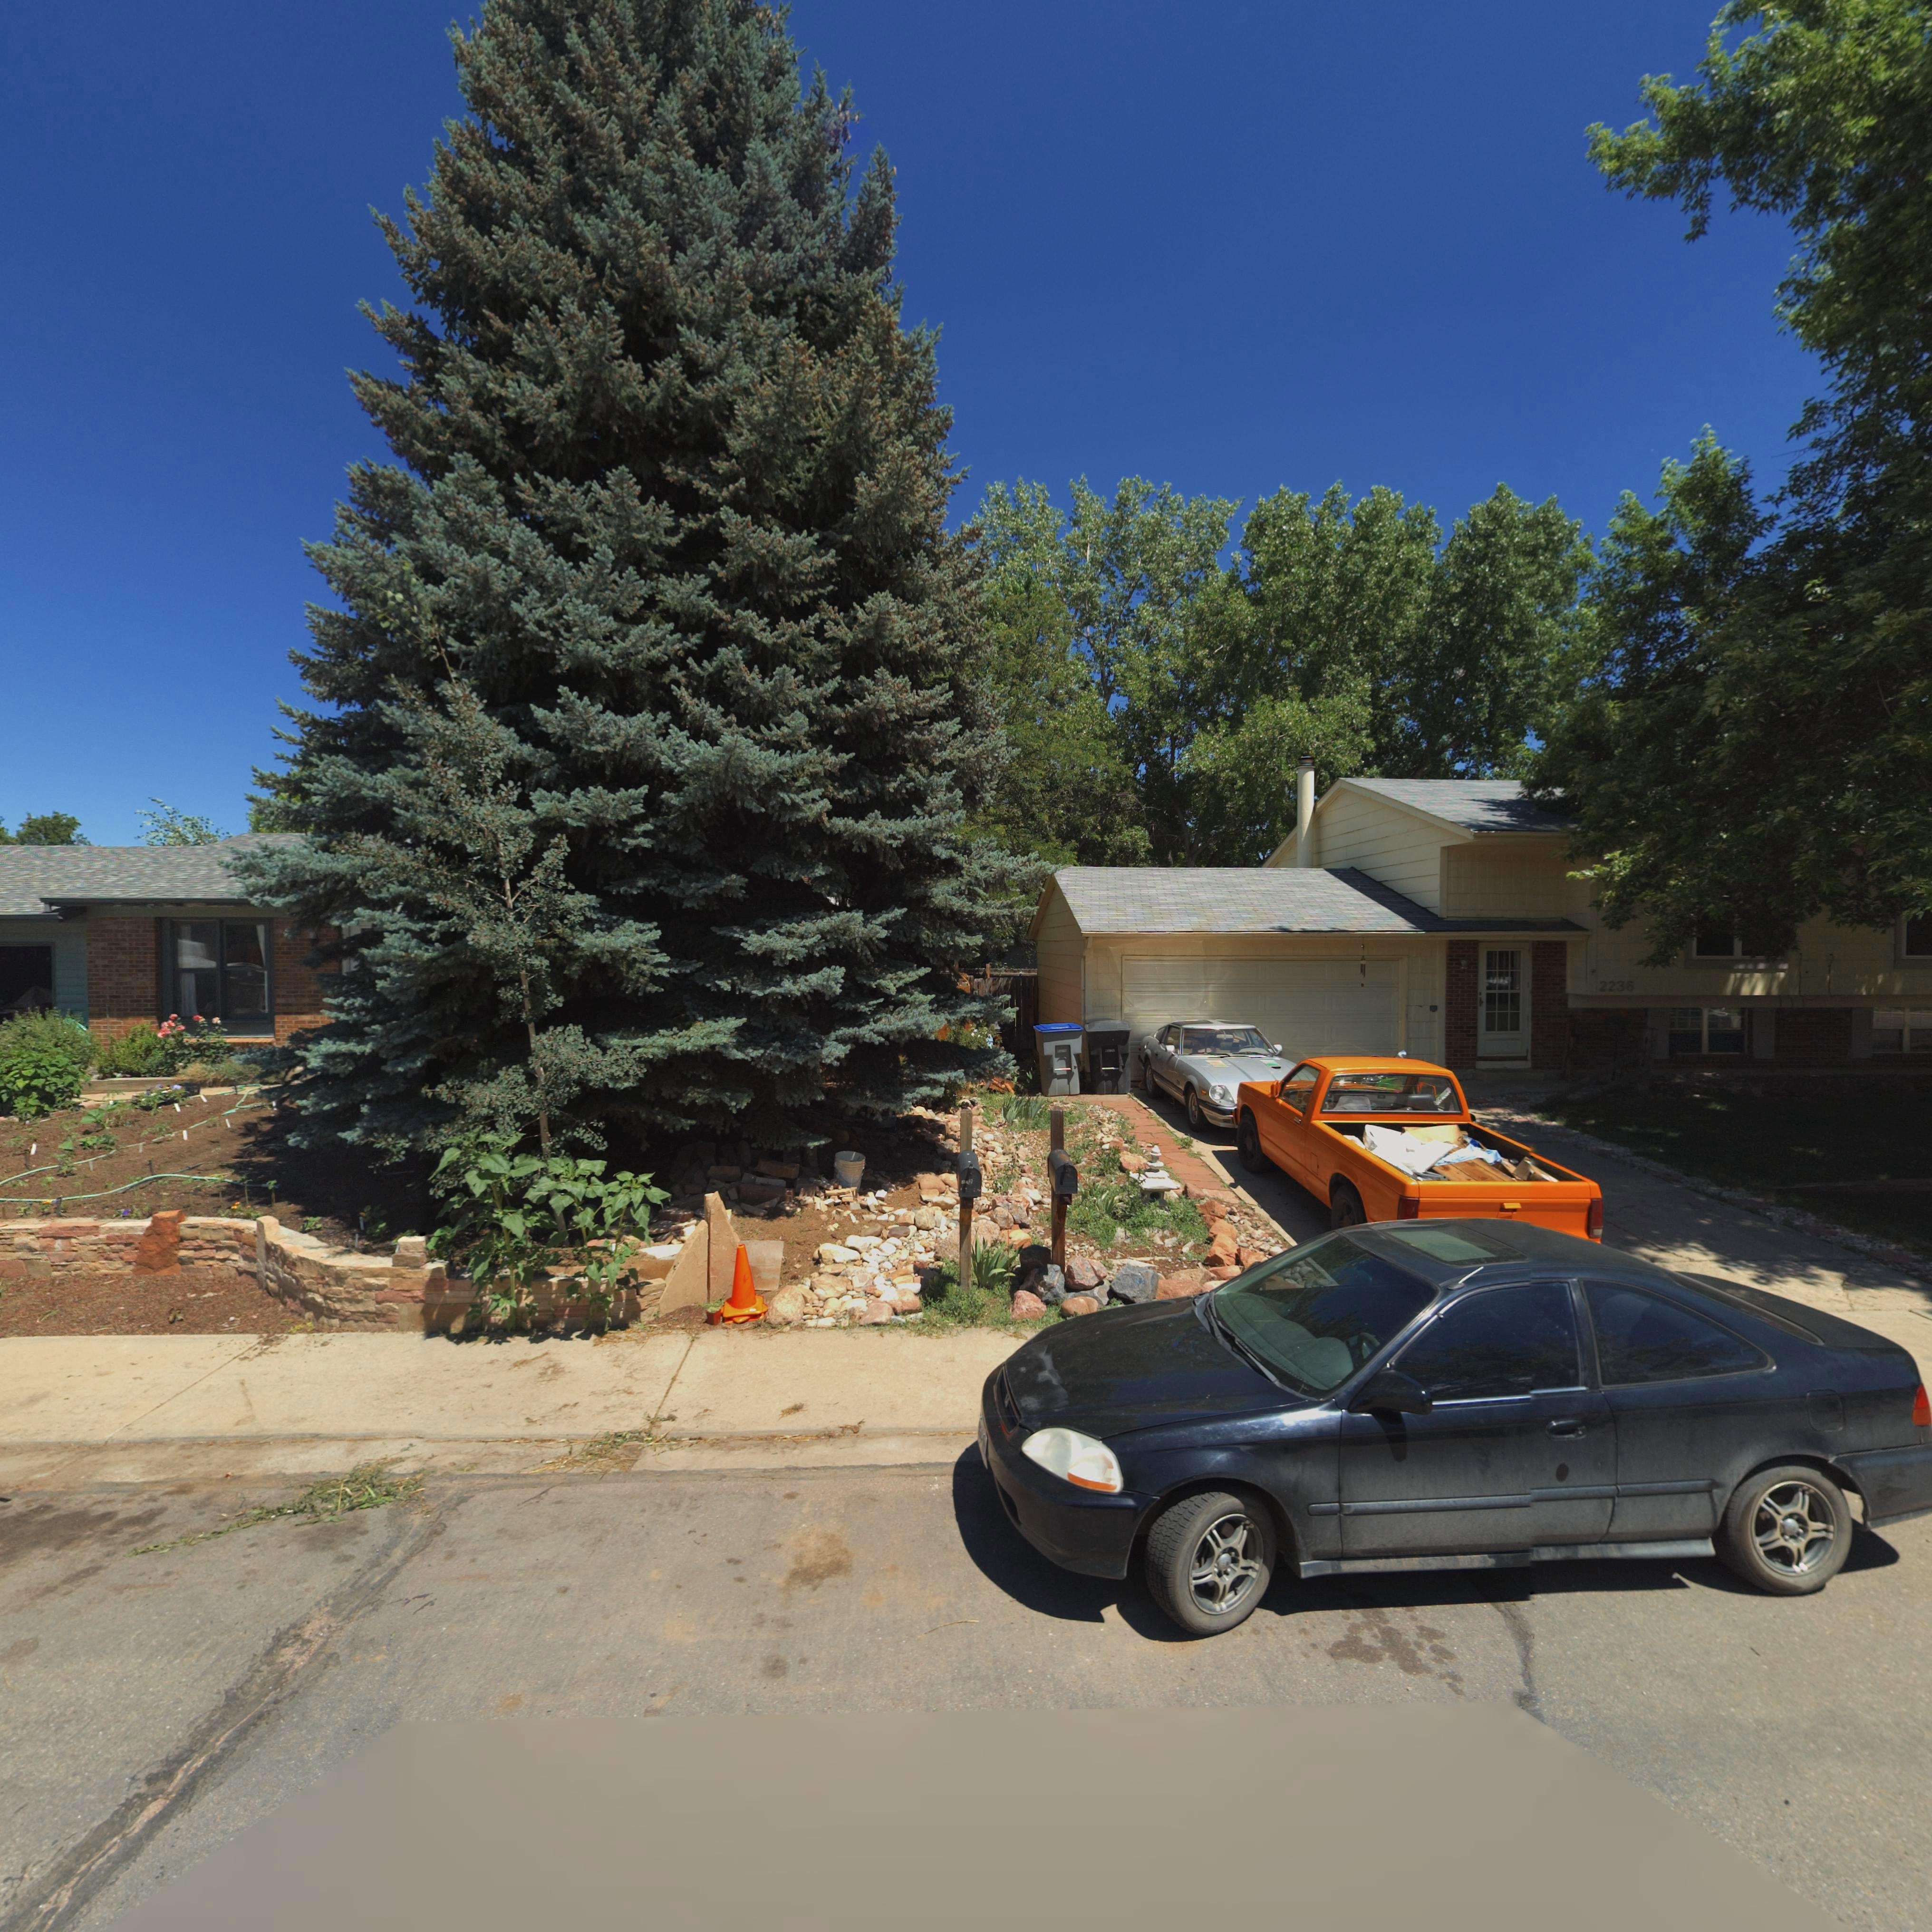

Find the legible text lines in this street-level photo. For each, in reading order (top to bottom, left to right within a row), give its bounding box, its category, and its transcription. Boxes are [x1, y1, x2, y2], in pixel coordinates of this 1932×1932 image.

[1598, 980, 1634, 992] StreetNumber: 2236